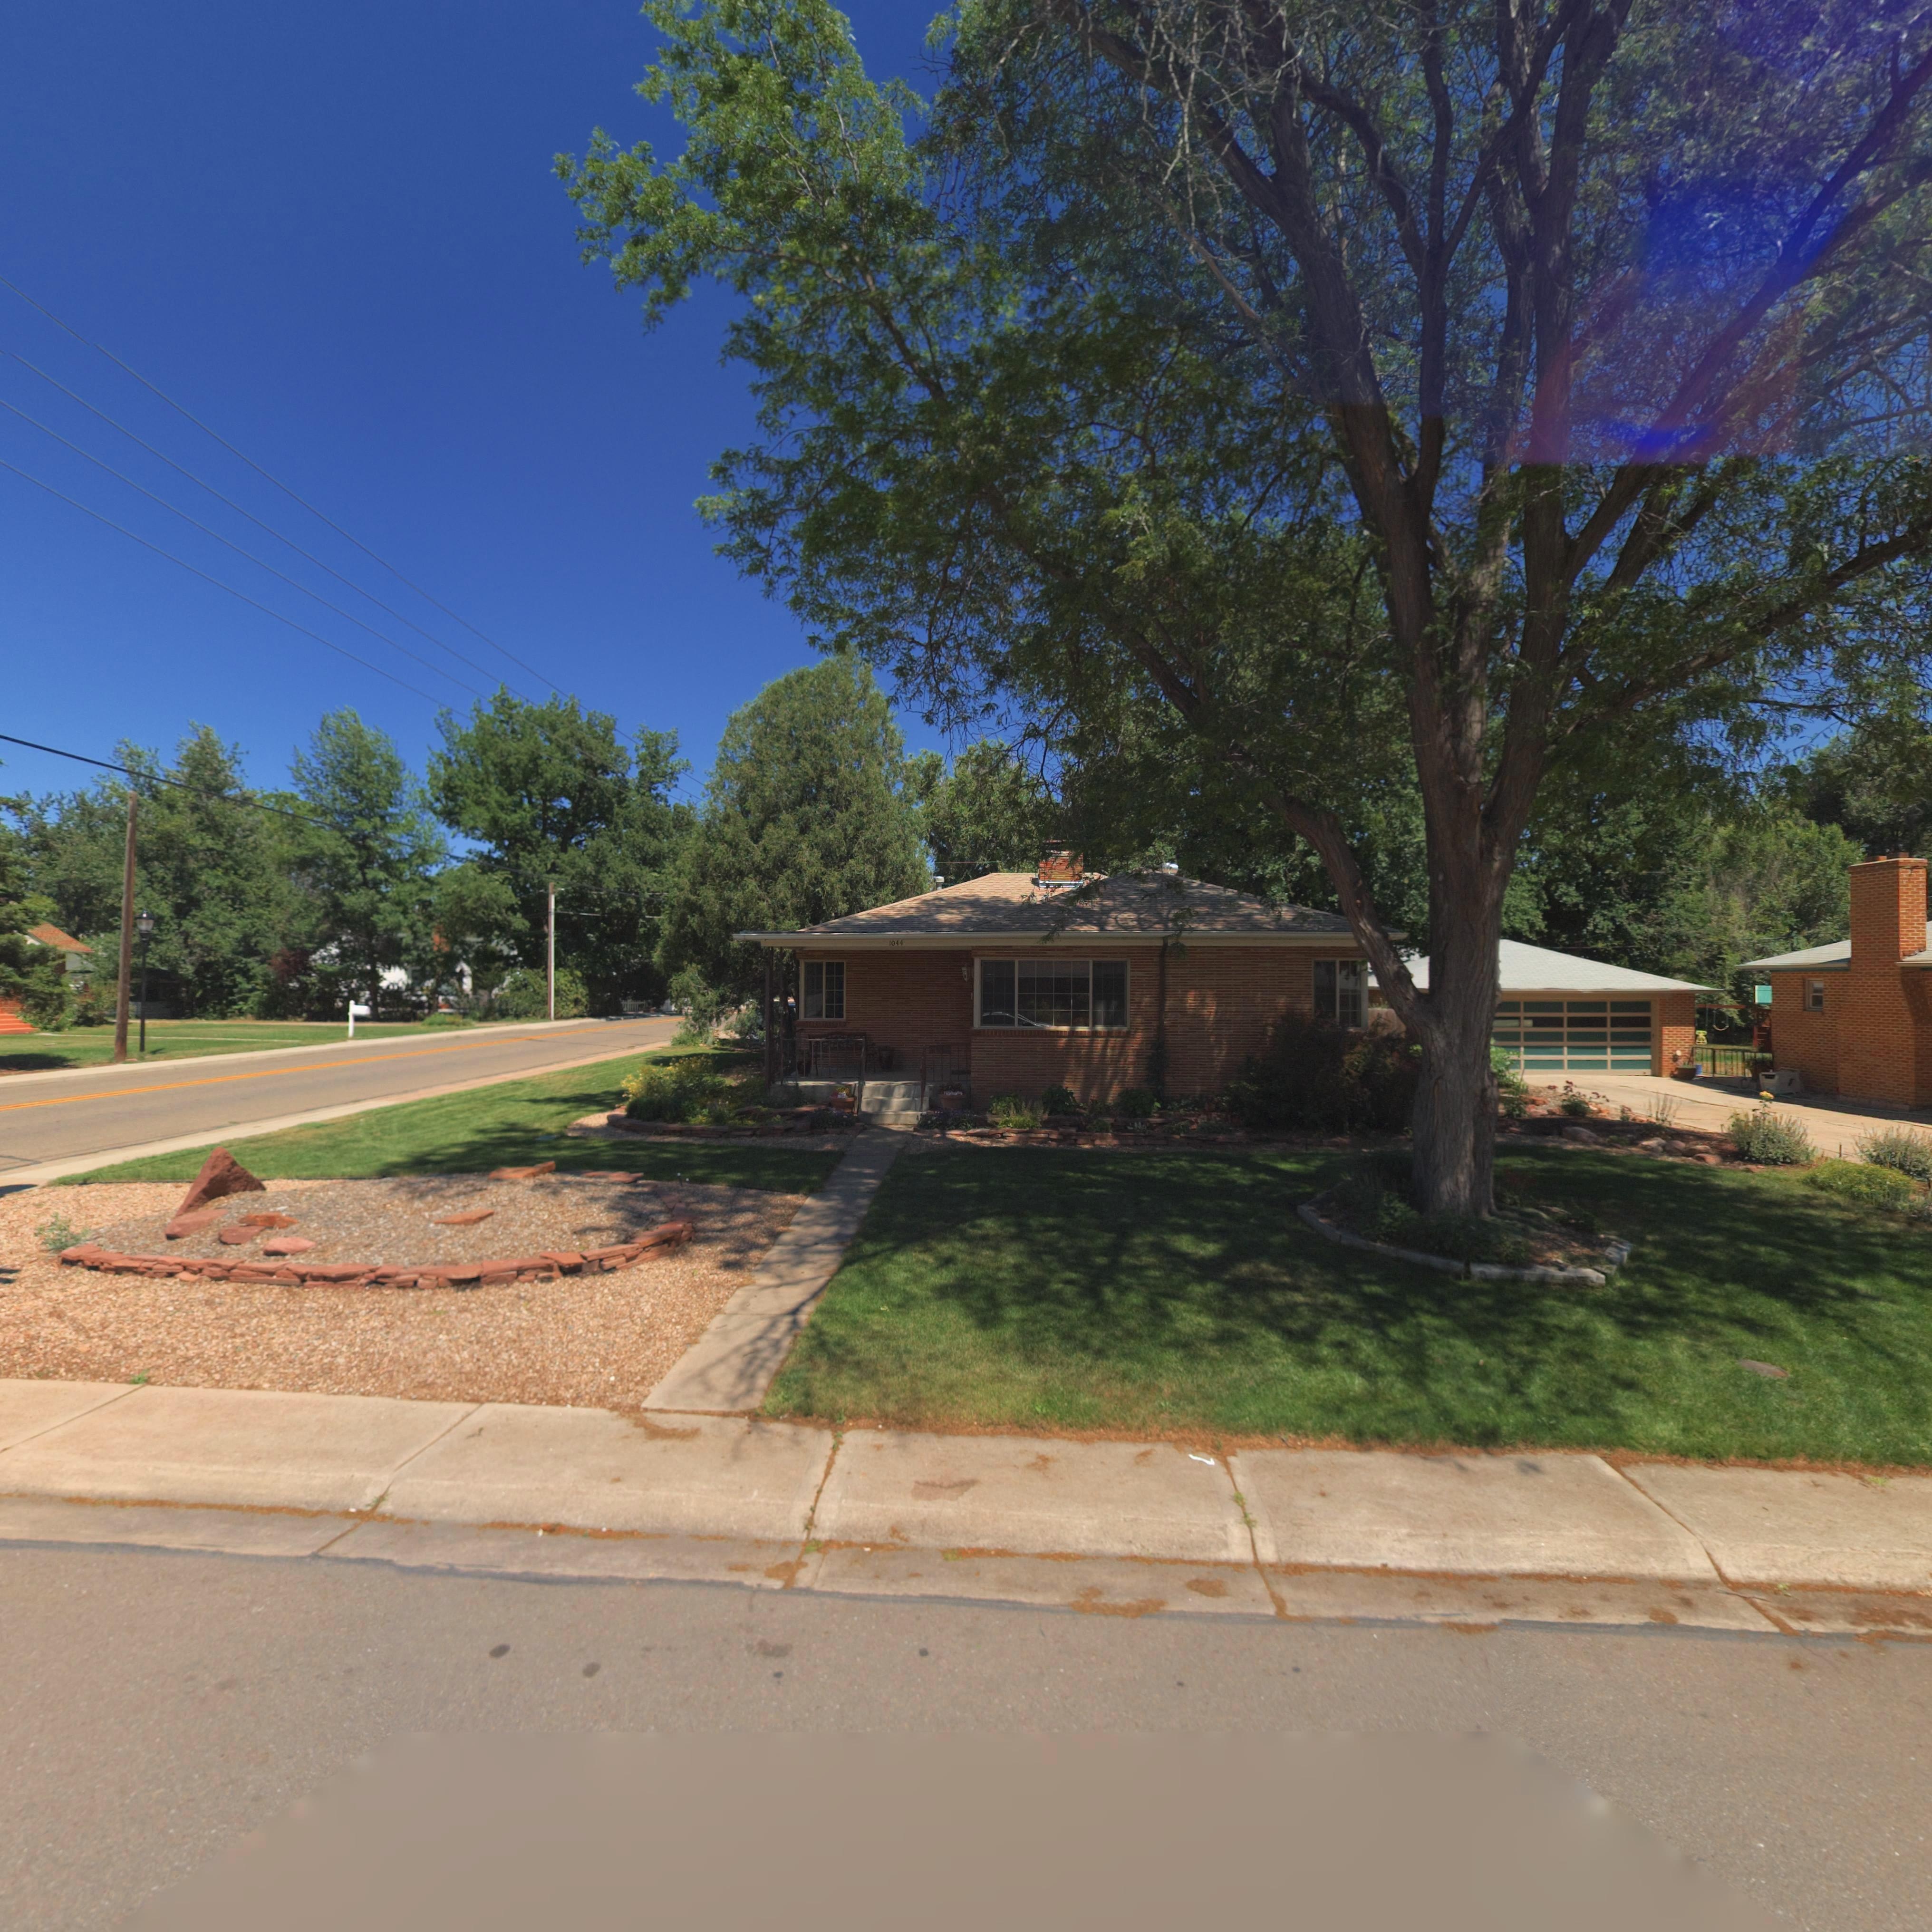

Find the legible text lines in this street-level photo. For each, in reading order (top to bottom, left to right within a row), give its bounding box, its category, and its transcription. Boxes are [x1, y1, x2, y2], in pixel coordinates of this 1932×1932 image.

[889, 939, 902, 946] StreetNumber: 1044